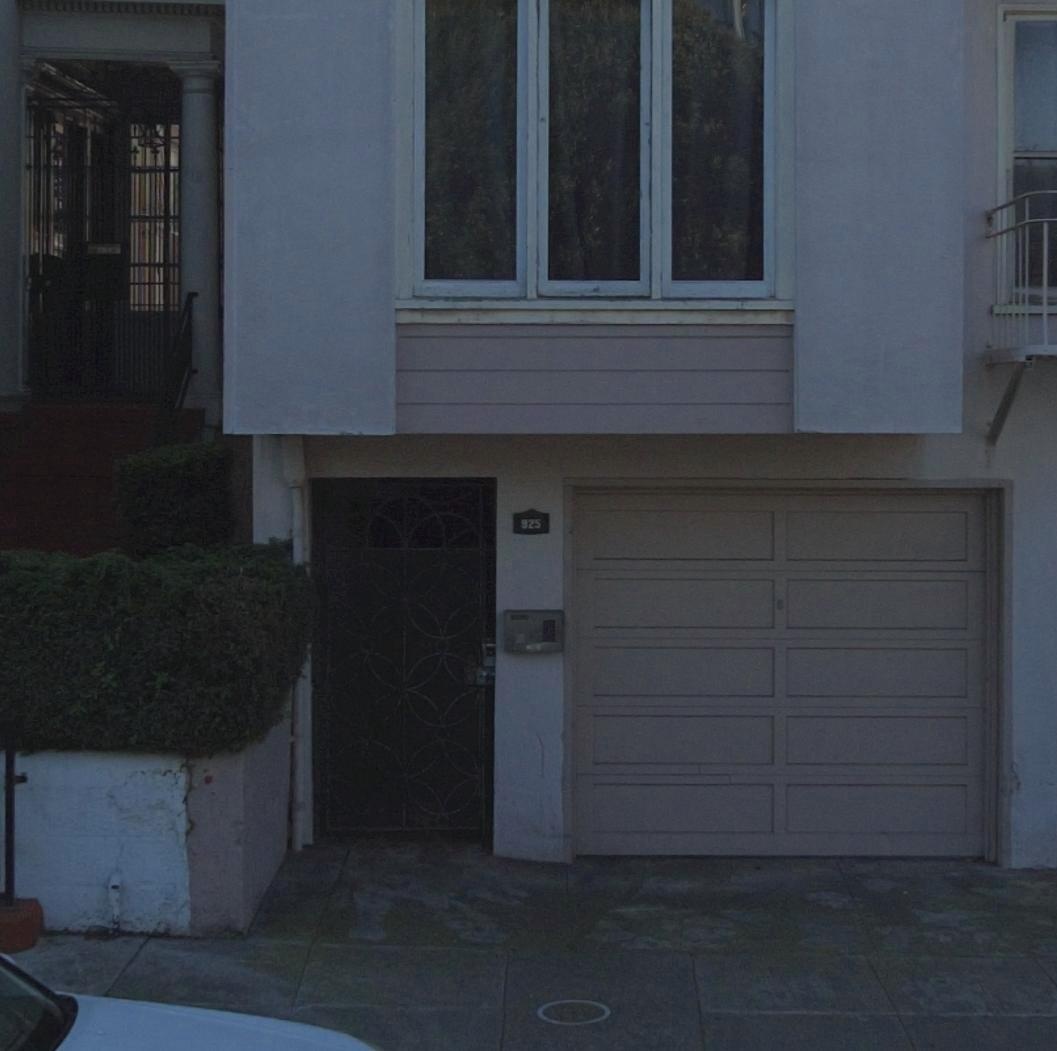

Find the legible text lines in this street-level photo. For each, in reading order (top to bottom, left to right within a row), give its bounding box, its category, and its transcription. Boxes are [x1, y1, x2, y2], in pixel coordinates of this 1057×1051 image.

[520, 516, 543, 531] StreetNumber: 925